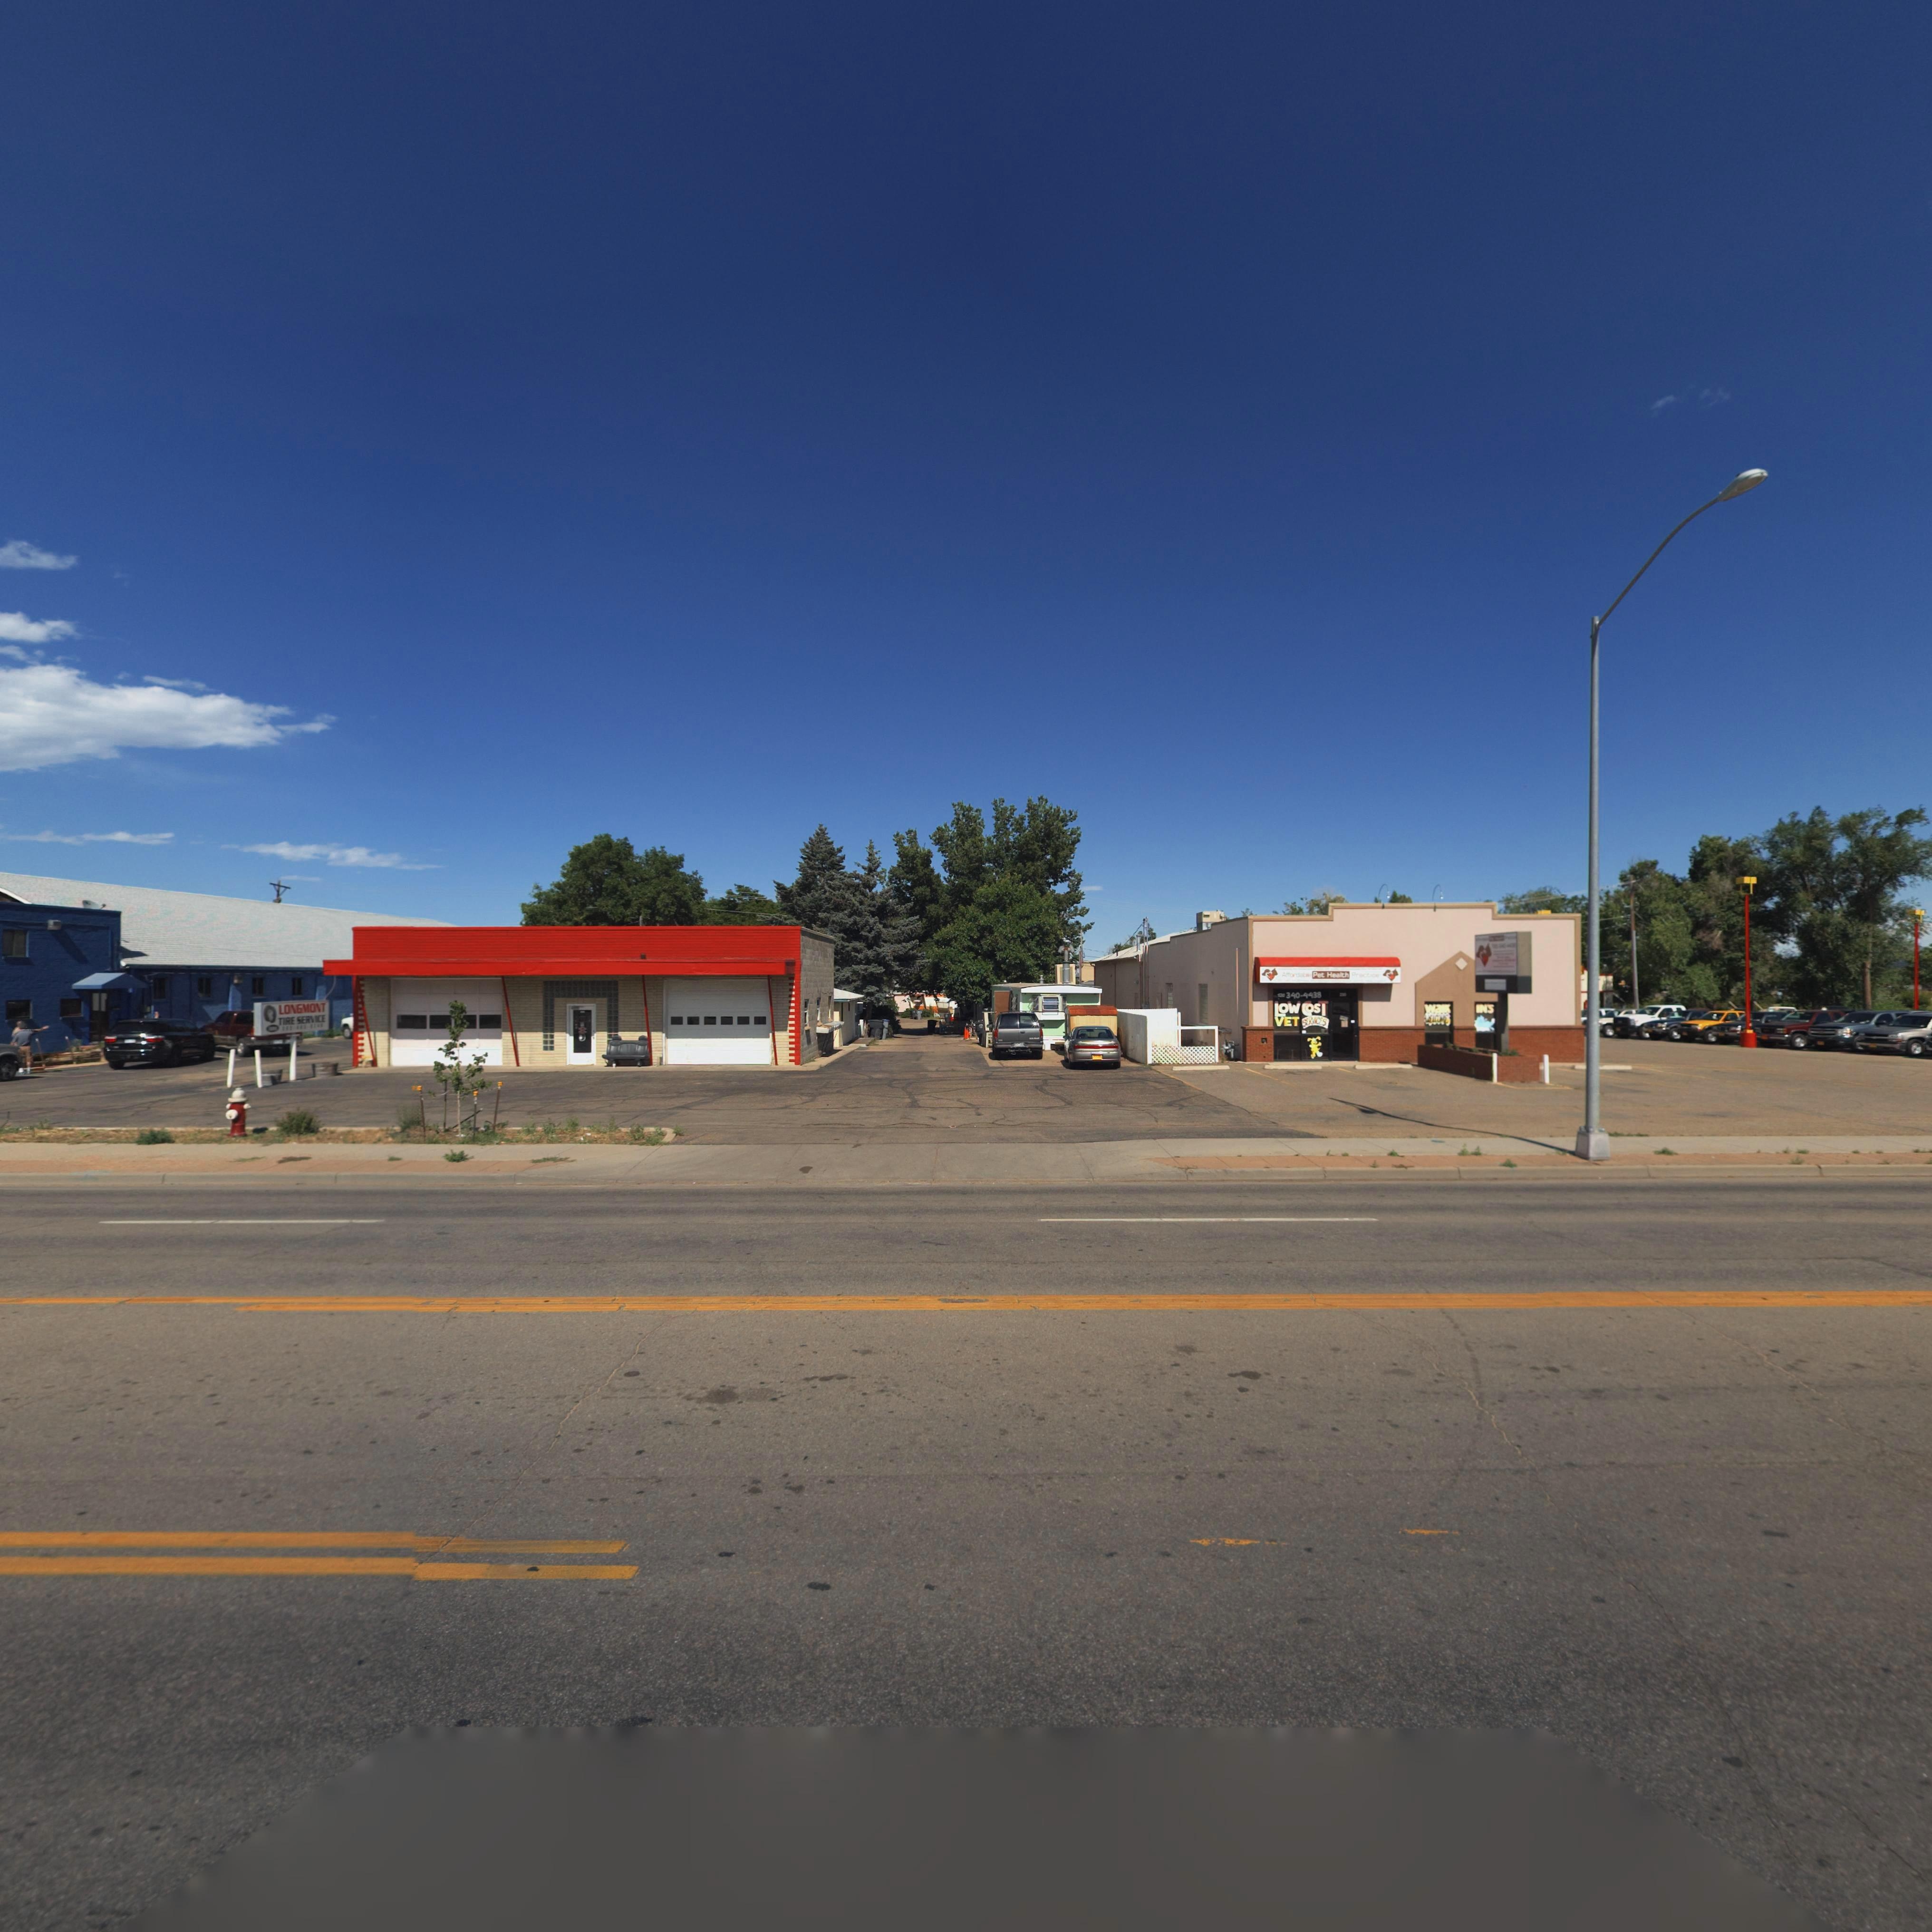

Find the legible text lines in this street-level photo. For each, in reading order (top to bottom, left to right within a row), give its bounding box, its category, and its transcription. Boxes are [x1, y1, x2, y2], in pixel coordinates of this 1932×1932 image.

[1280, 971, 1380, 978] BusinessName: Affordable Pet Health Practice
[278, 1002, 326, 1015] BusinessName: LONGMONT
[278, 1014, 326, 1025] BusinessName: TIRE SERVICE